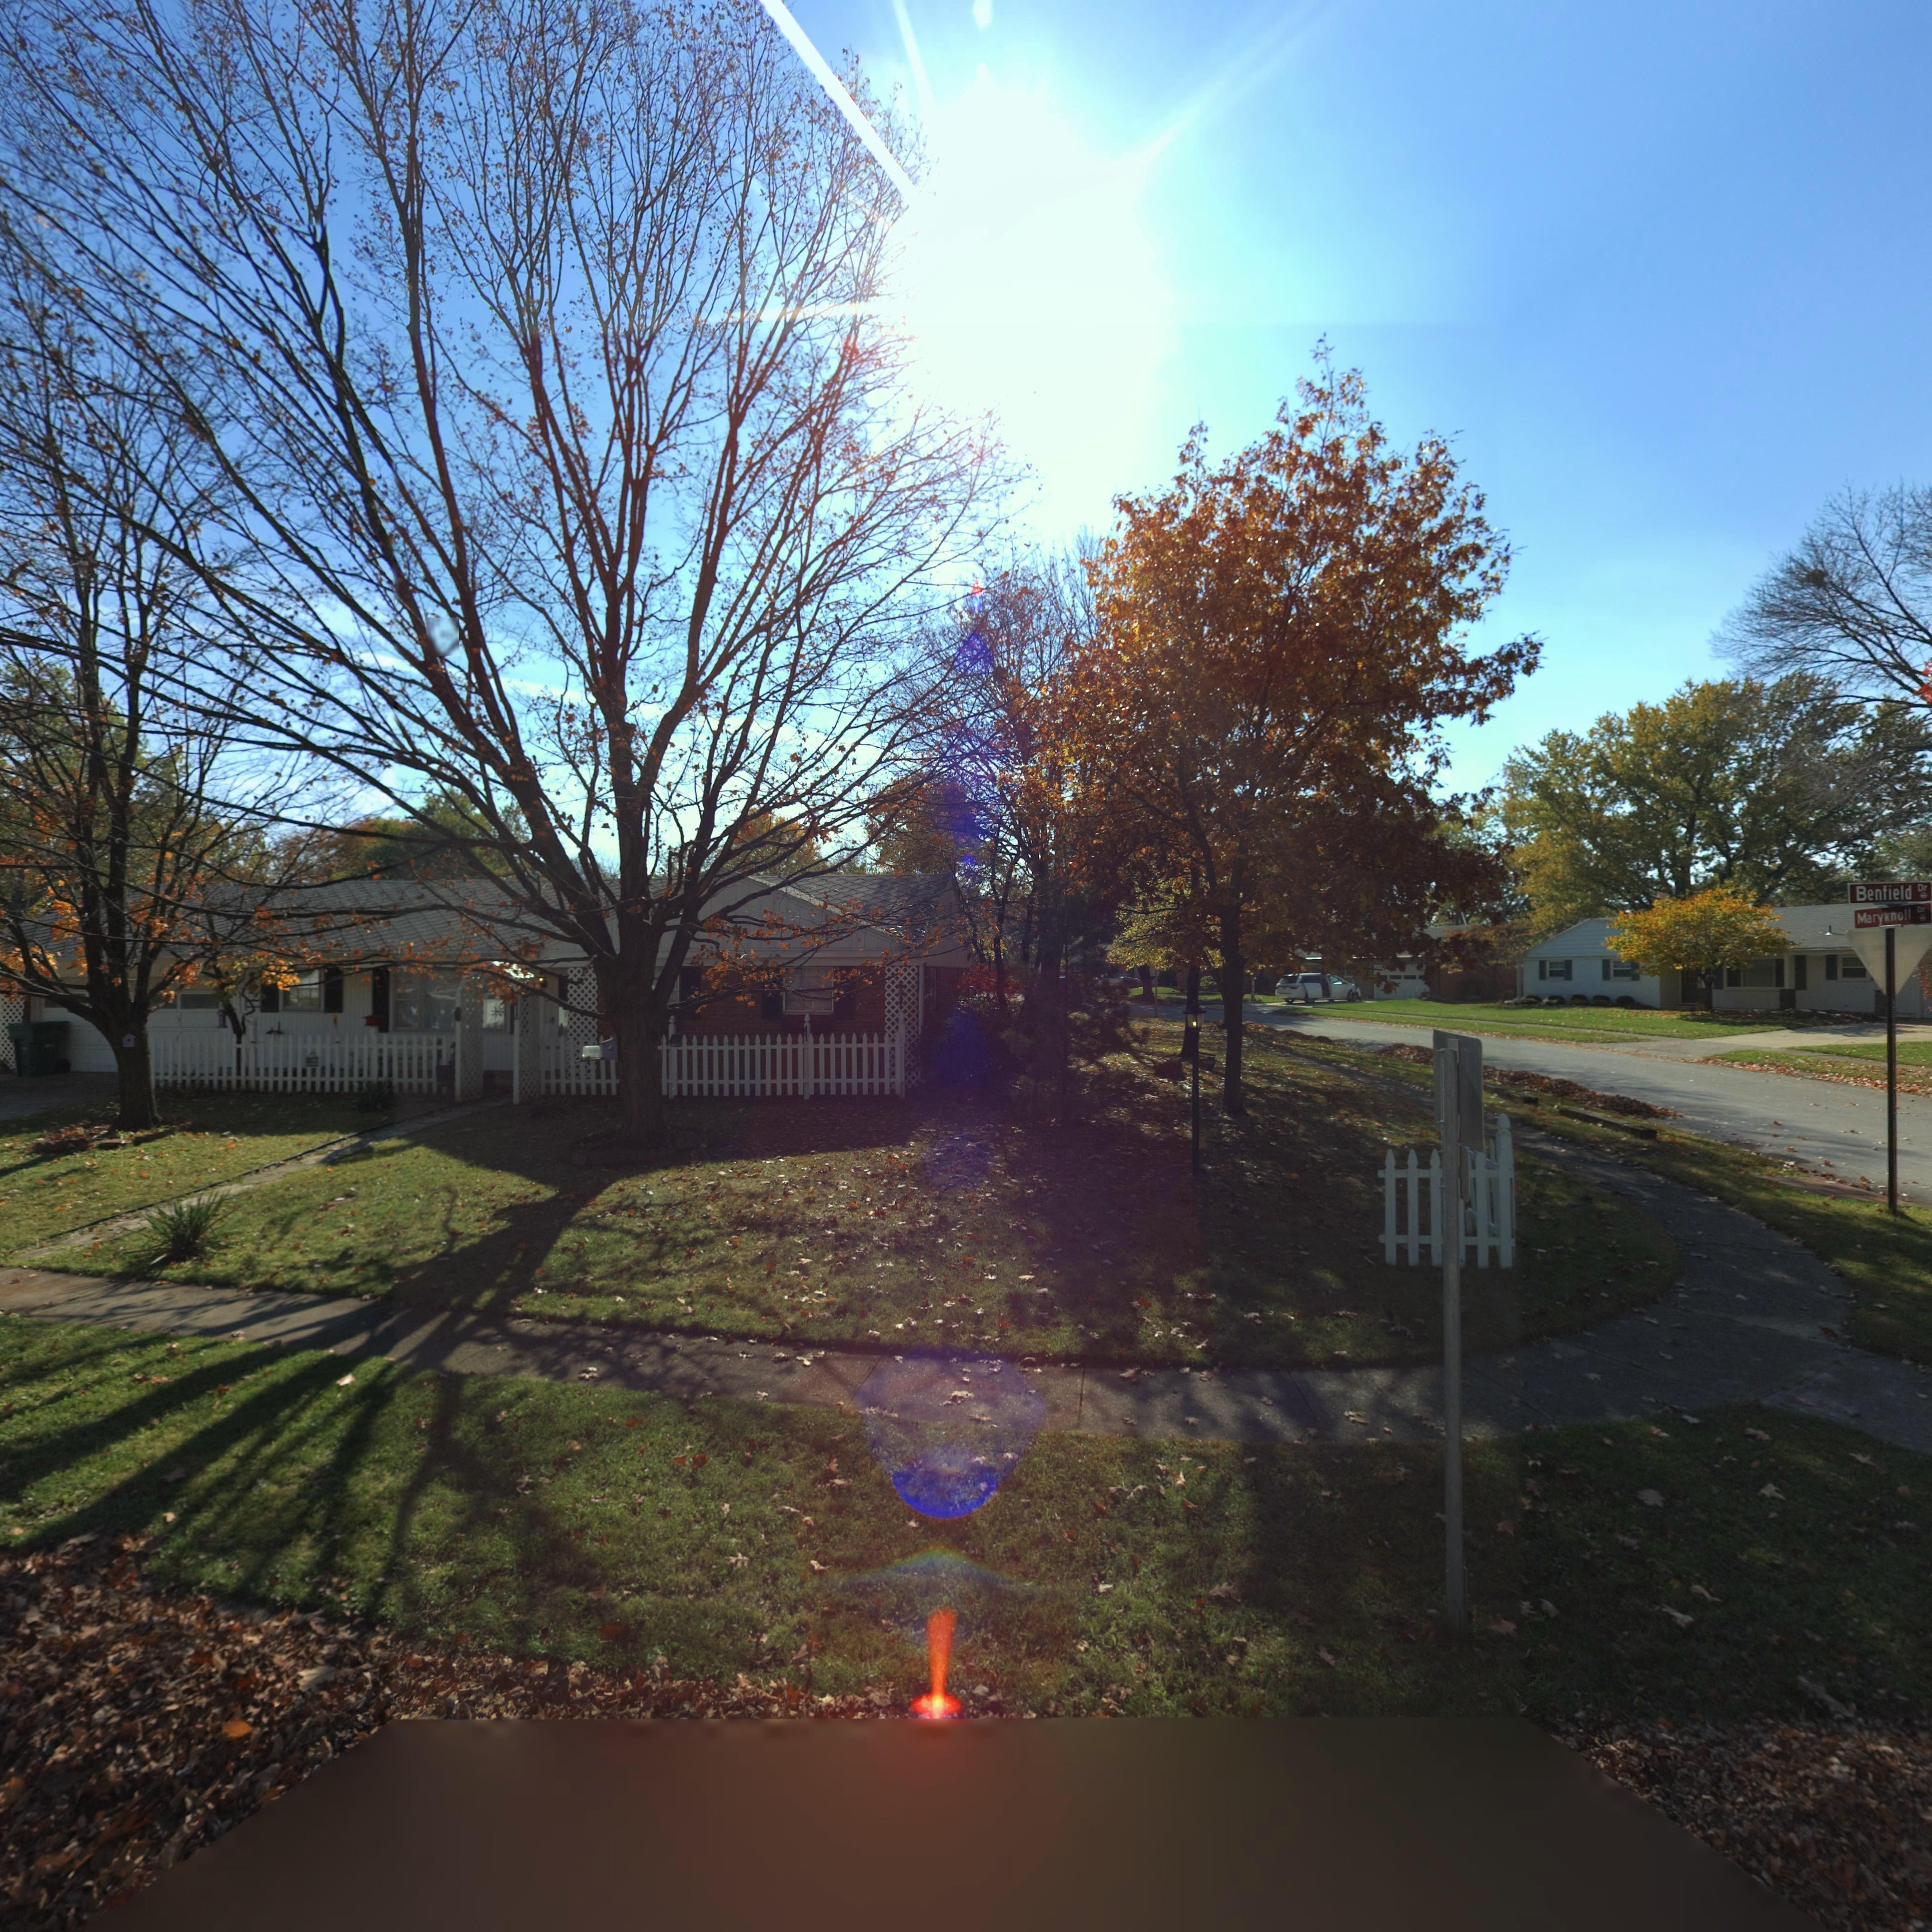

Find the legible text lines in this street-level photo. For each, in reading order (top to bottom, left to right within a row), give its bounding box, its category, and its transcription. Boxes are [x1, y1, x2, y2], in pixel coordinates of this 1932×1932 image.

[1855, 883, 1929, 902] StreetName: Benfield Dr
[1856, 905, 1927, 926] StreetName: Maryknoll Dr